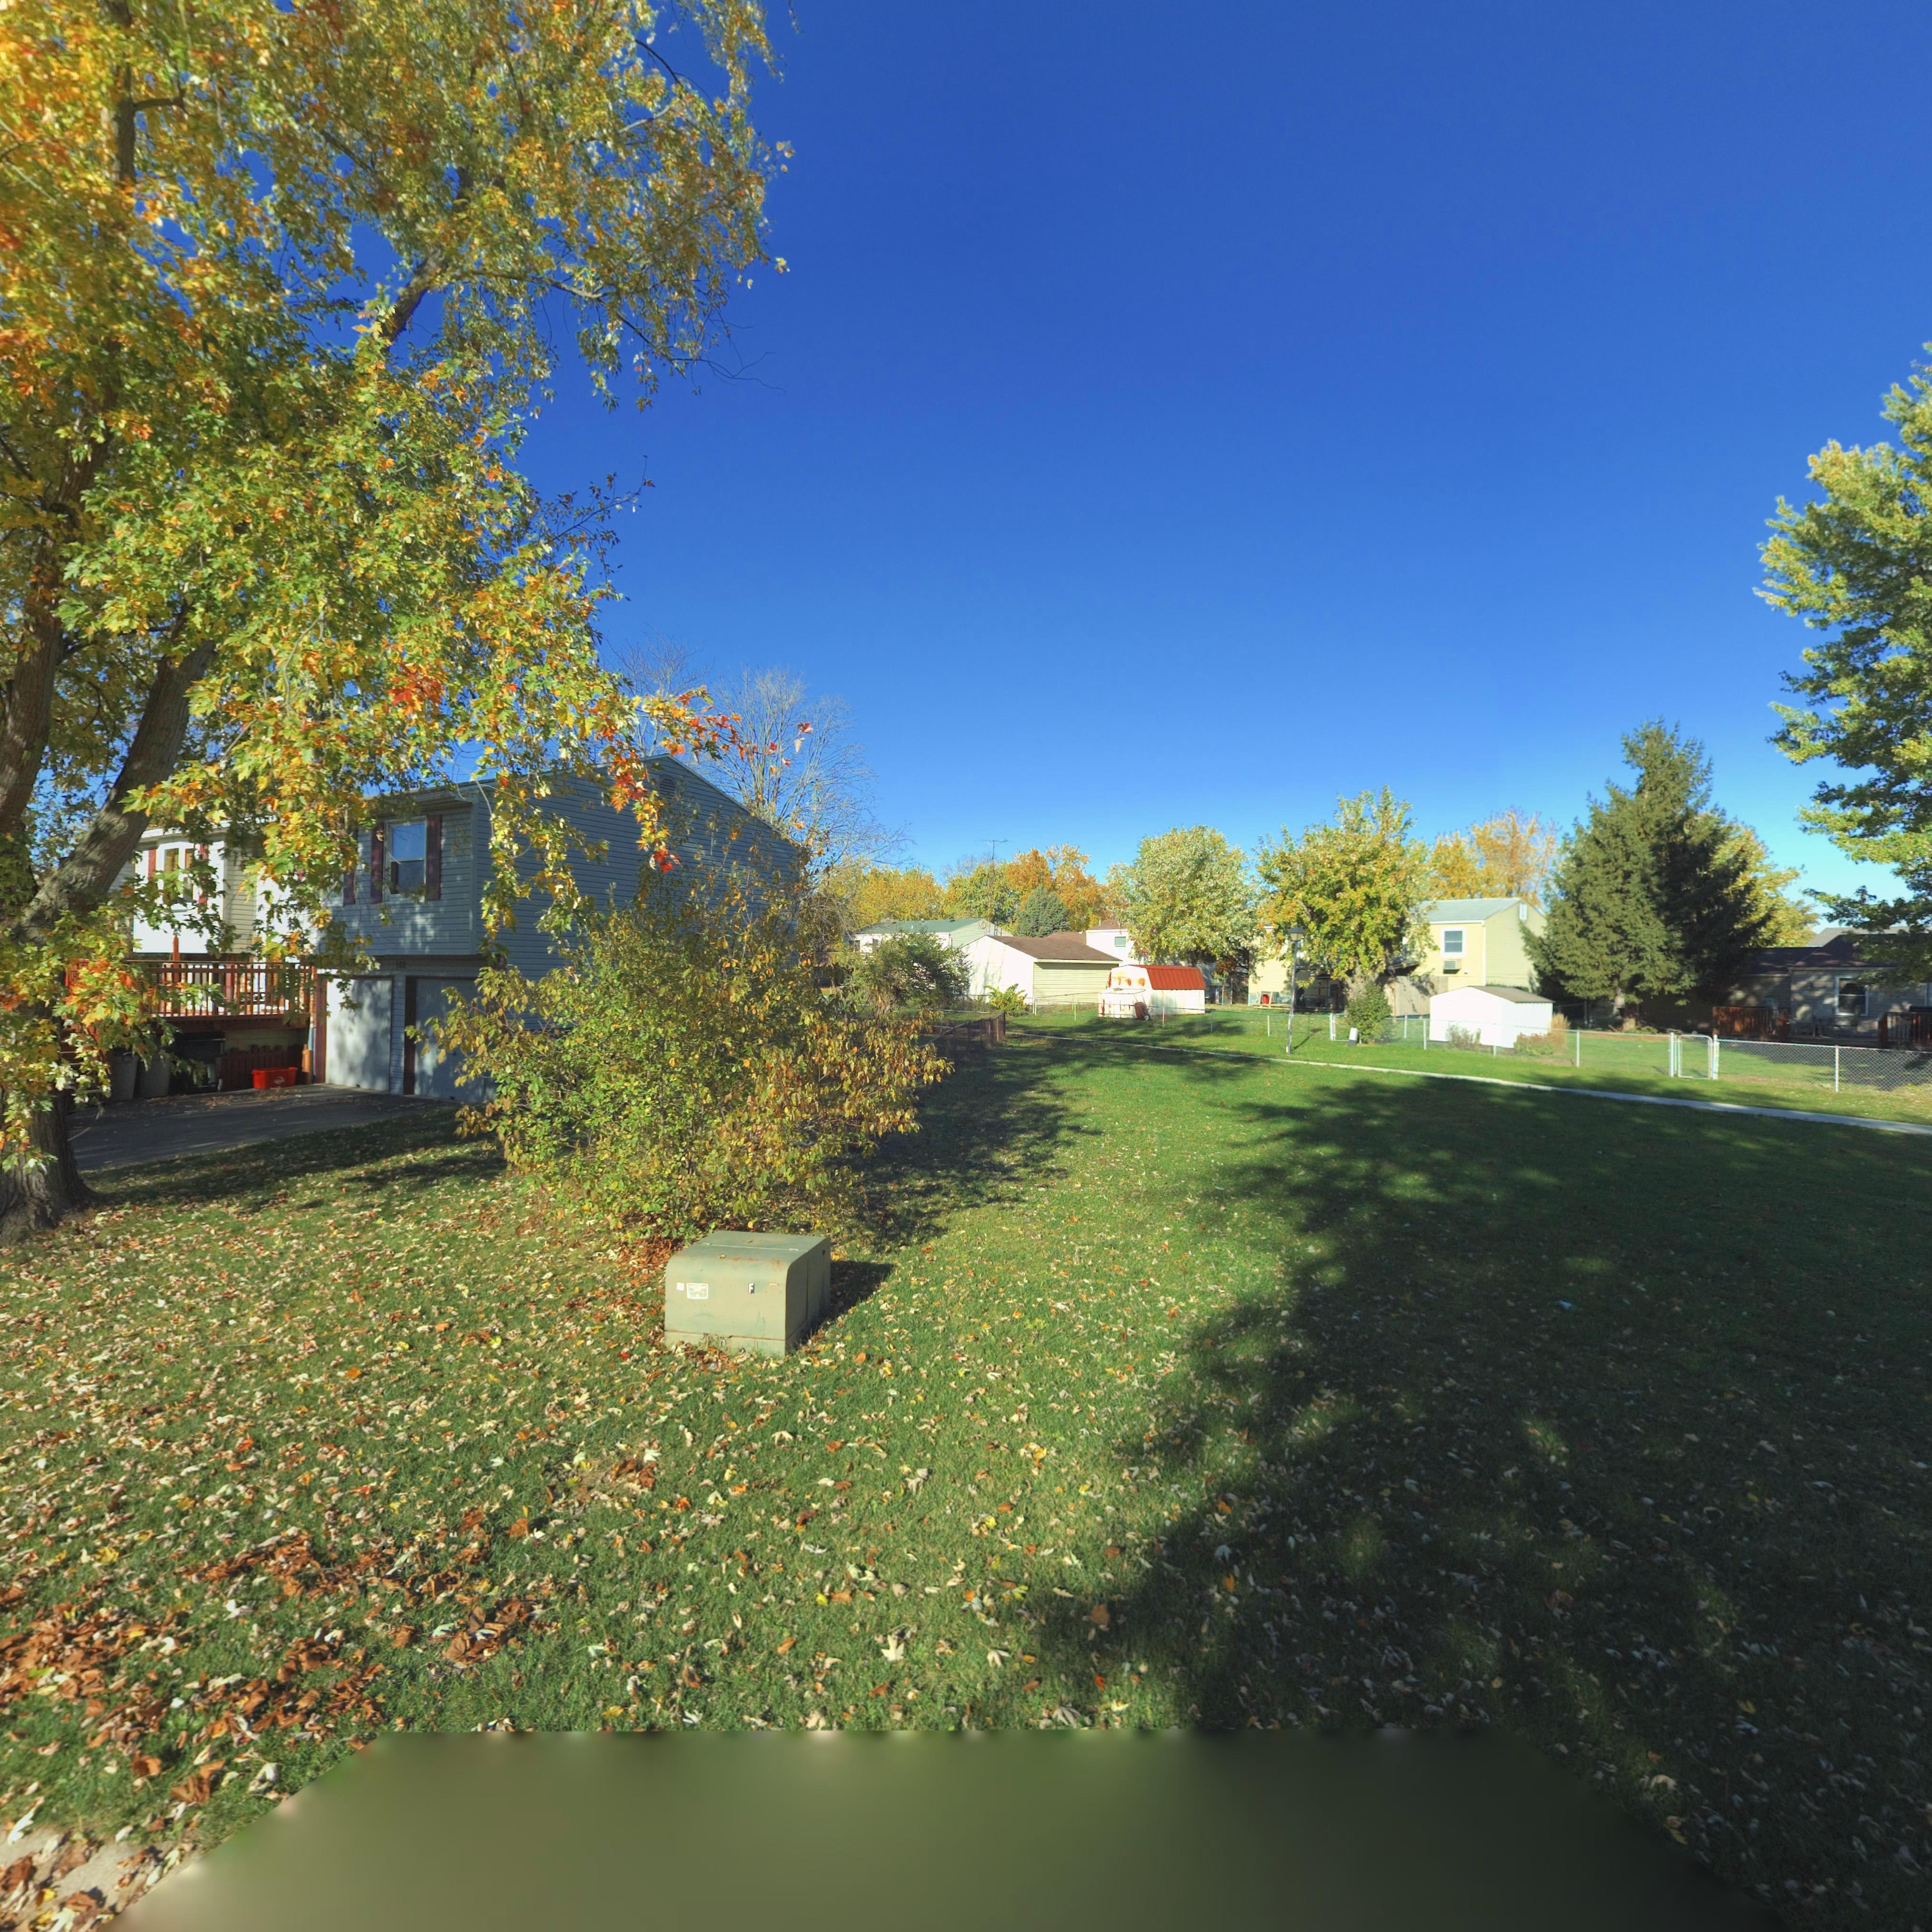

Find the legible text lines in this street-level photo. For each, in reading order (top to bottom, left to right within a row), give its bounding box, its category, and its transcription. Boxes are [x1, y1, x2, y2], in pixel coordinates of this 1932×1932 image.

[396, 961, 406, 970] StreetNumber: 102